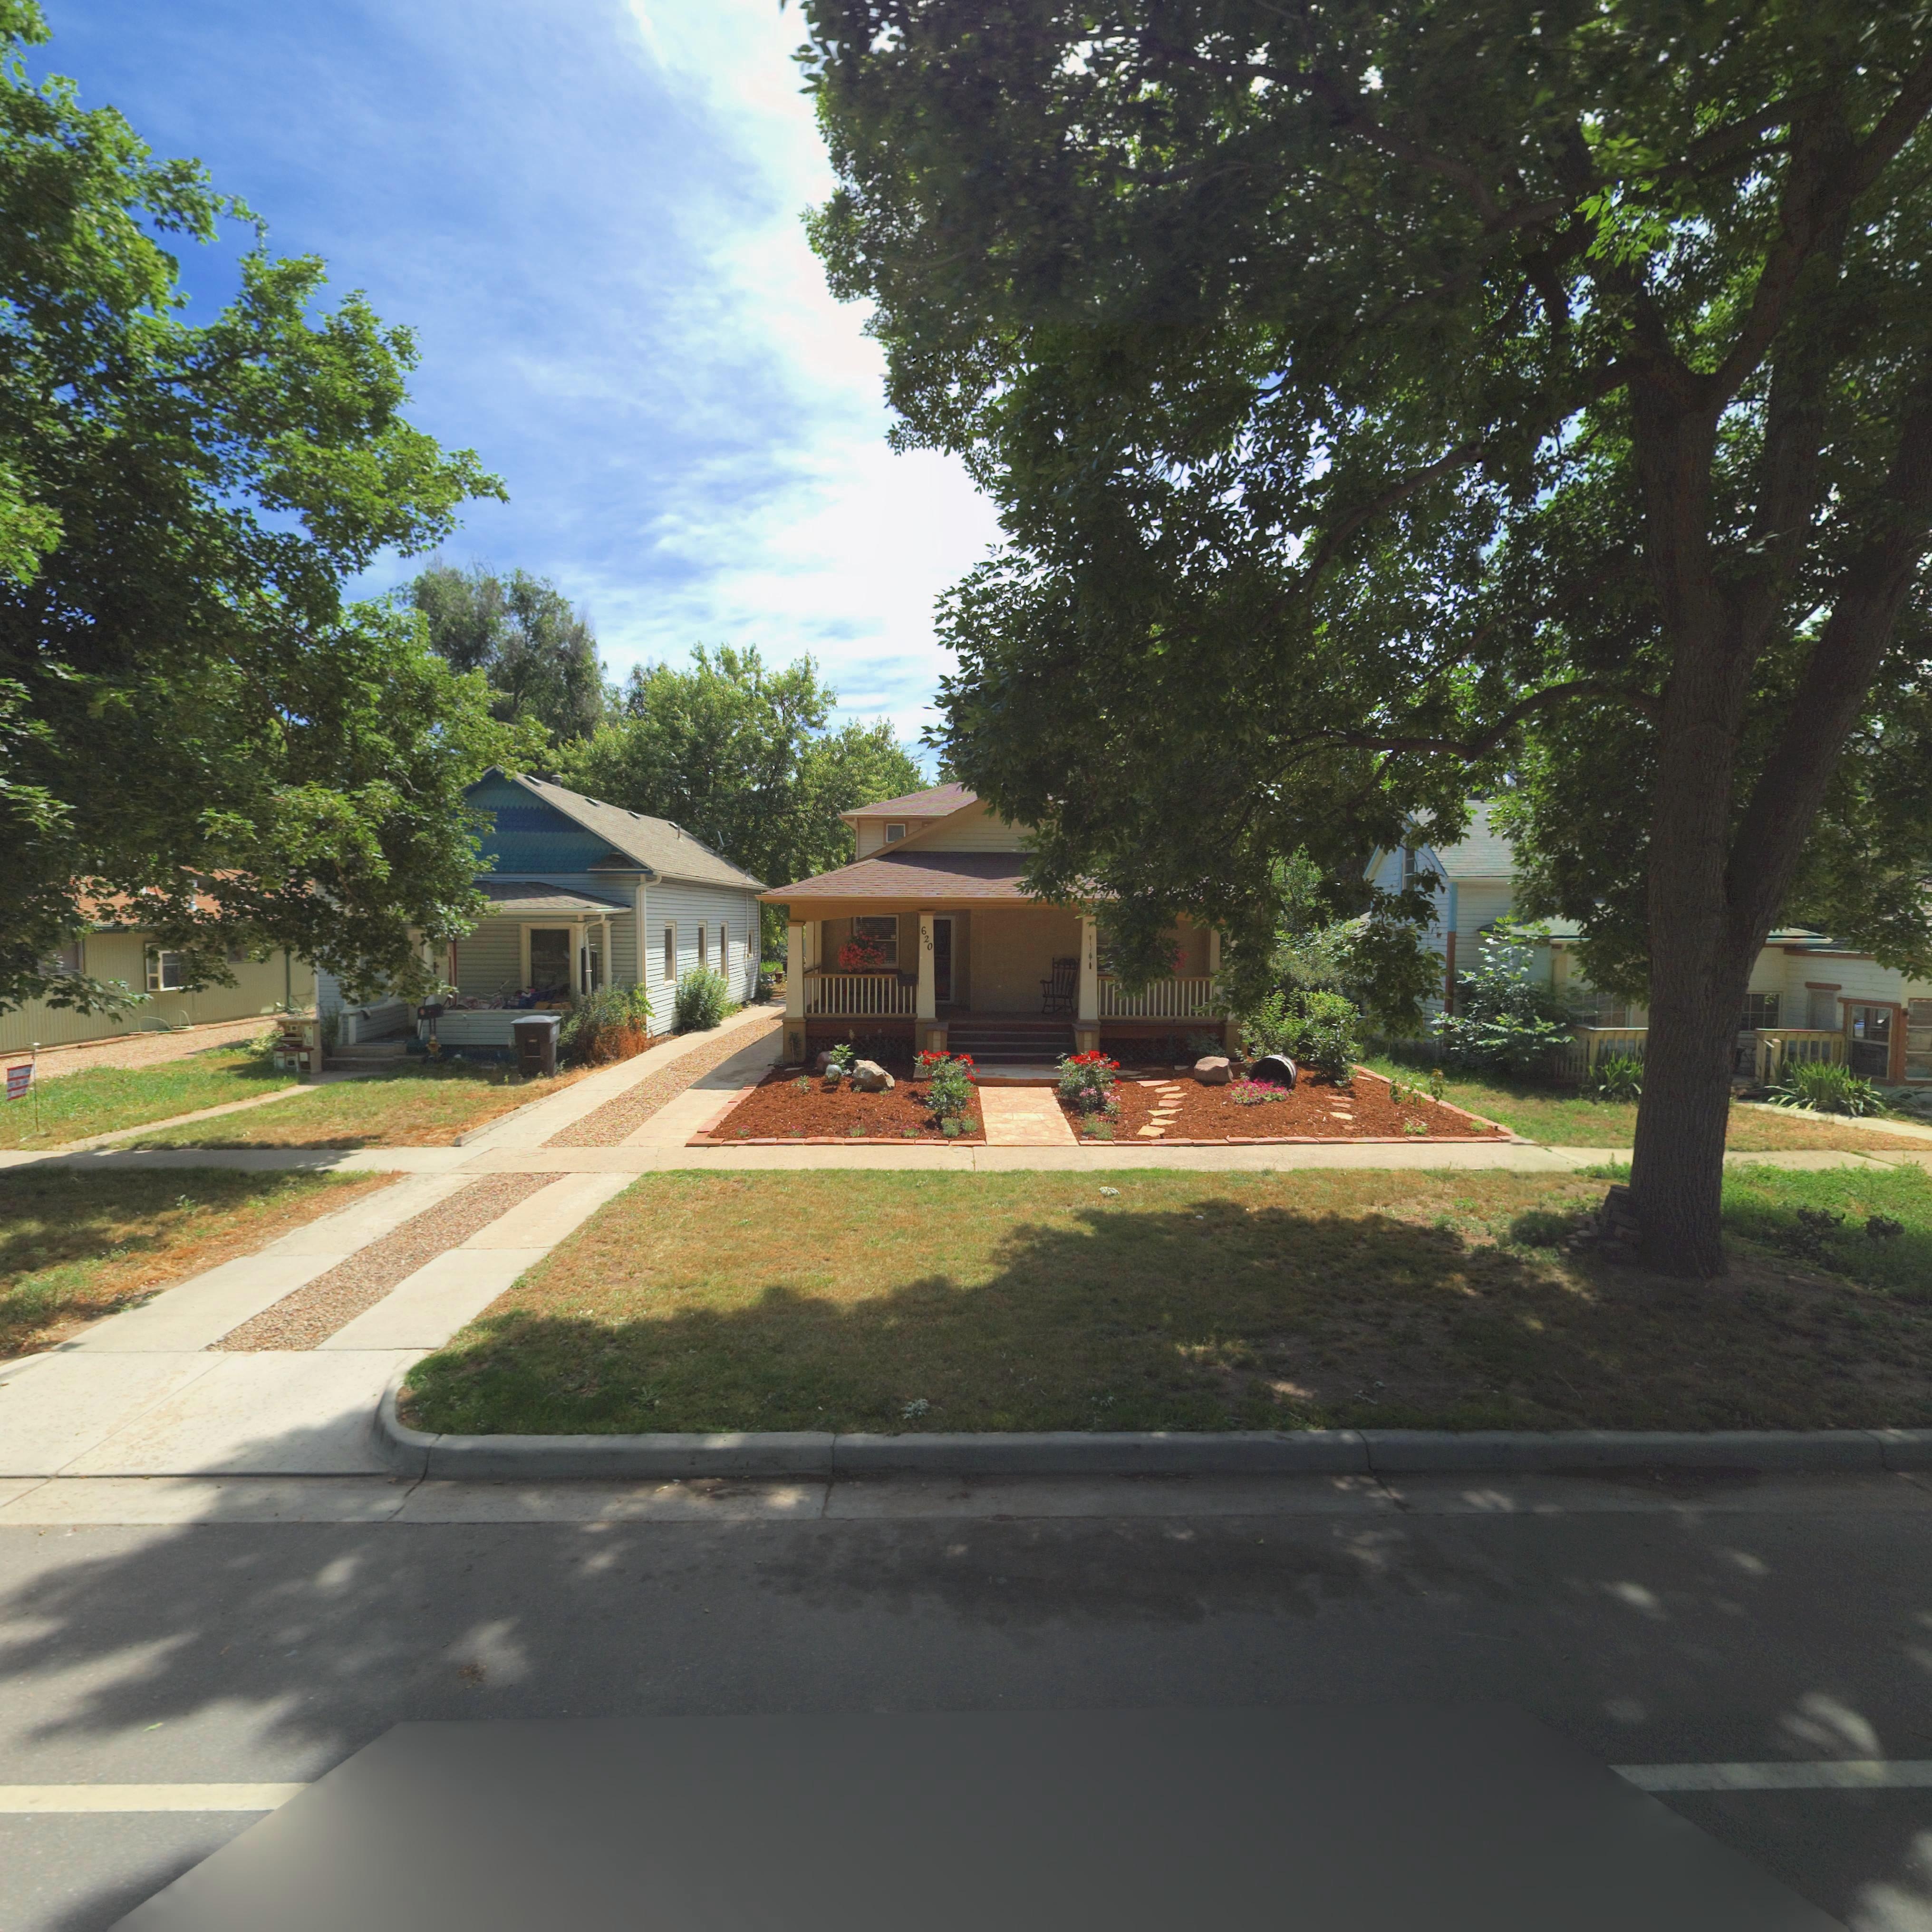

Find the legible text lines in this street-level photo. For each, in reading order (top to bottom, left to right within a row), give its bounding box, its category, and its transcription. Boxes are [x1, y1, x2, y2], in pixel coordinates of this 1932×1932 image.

[921, 925, 933, 951] StreetNumber: 620